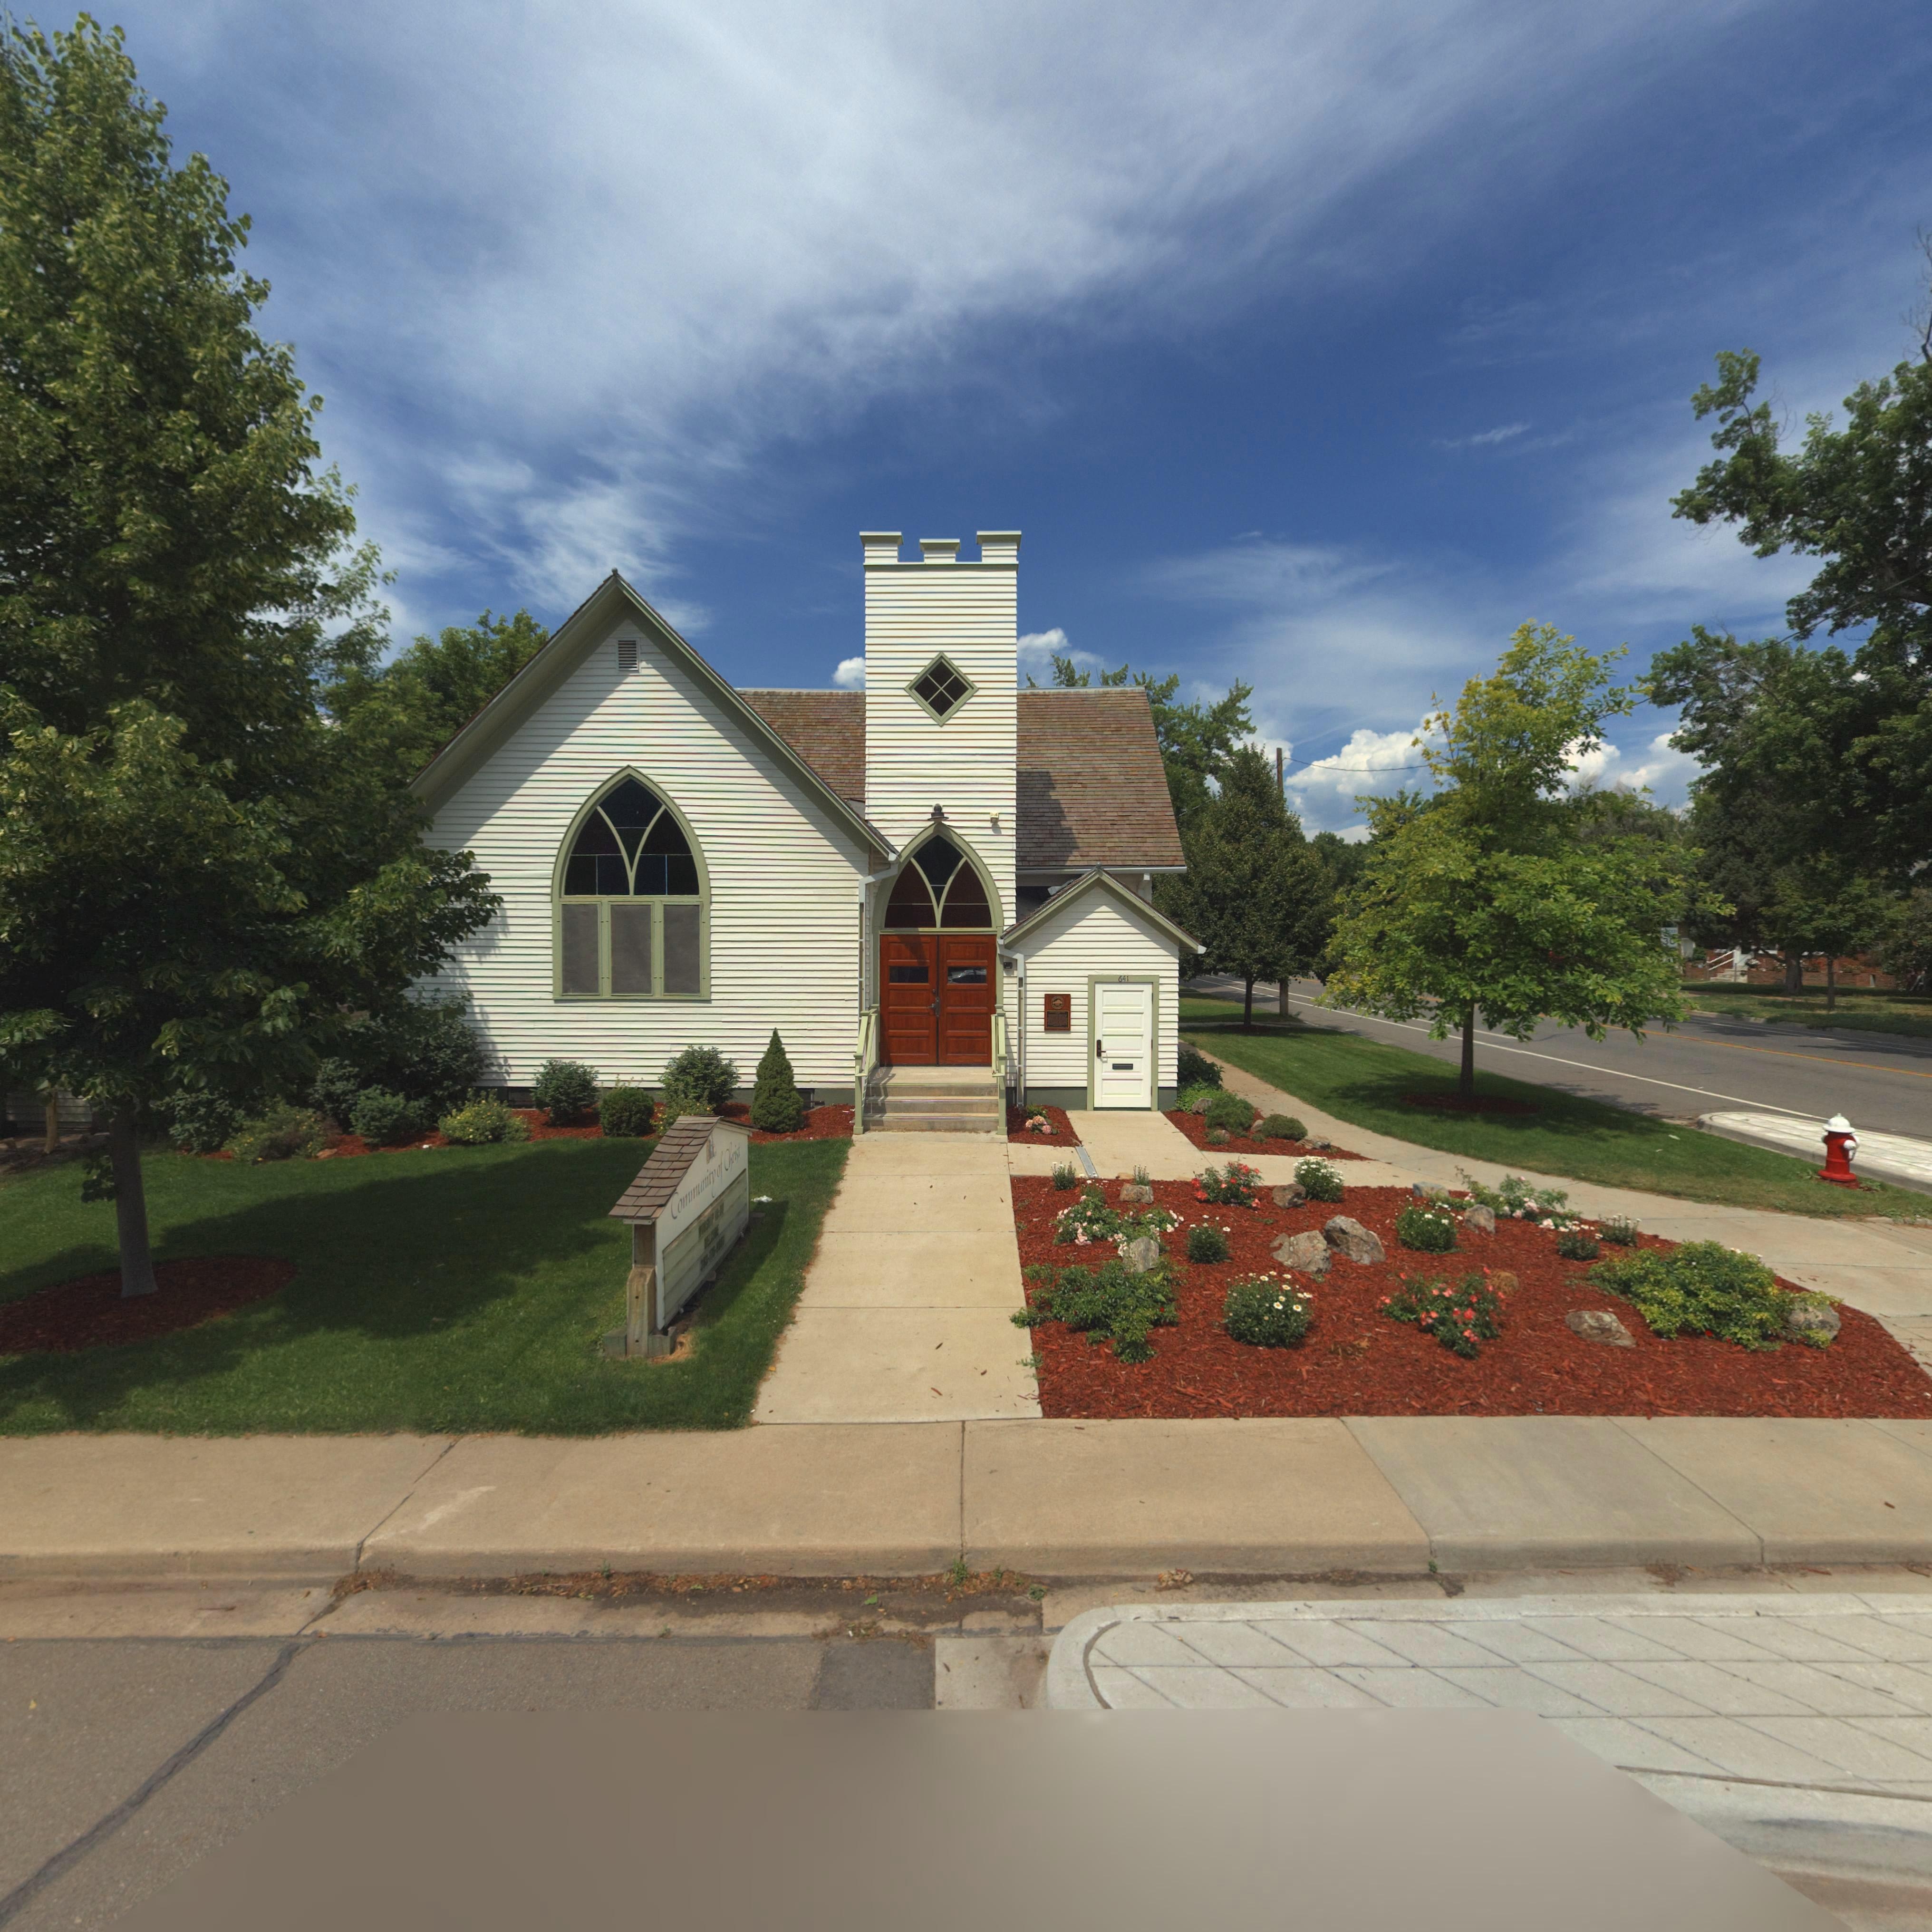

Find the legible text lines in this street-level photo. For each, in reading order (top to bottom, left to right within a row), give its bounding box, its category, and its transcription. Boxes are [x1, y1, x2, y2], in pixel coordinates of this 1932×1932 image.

[1118, 975, 1128, 982] StreetNumber: 641
[670, 1141, 741, 1220] BusinessName: Community of Christ